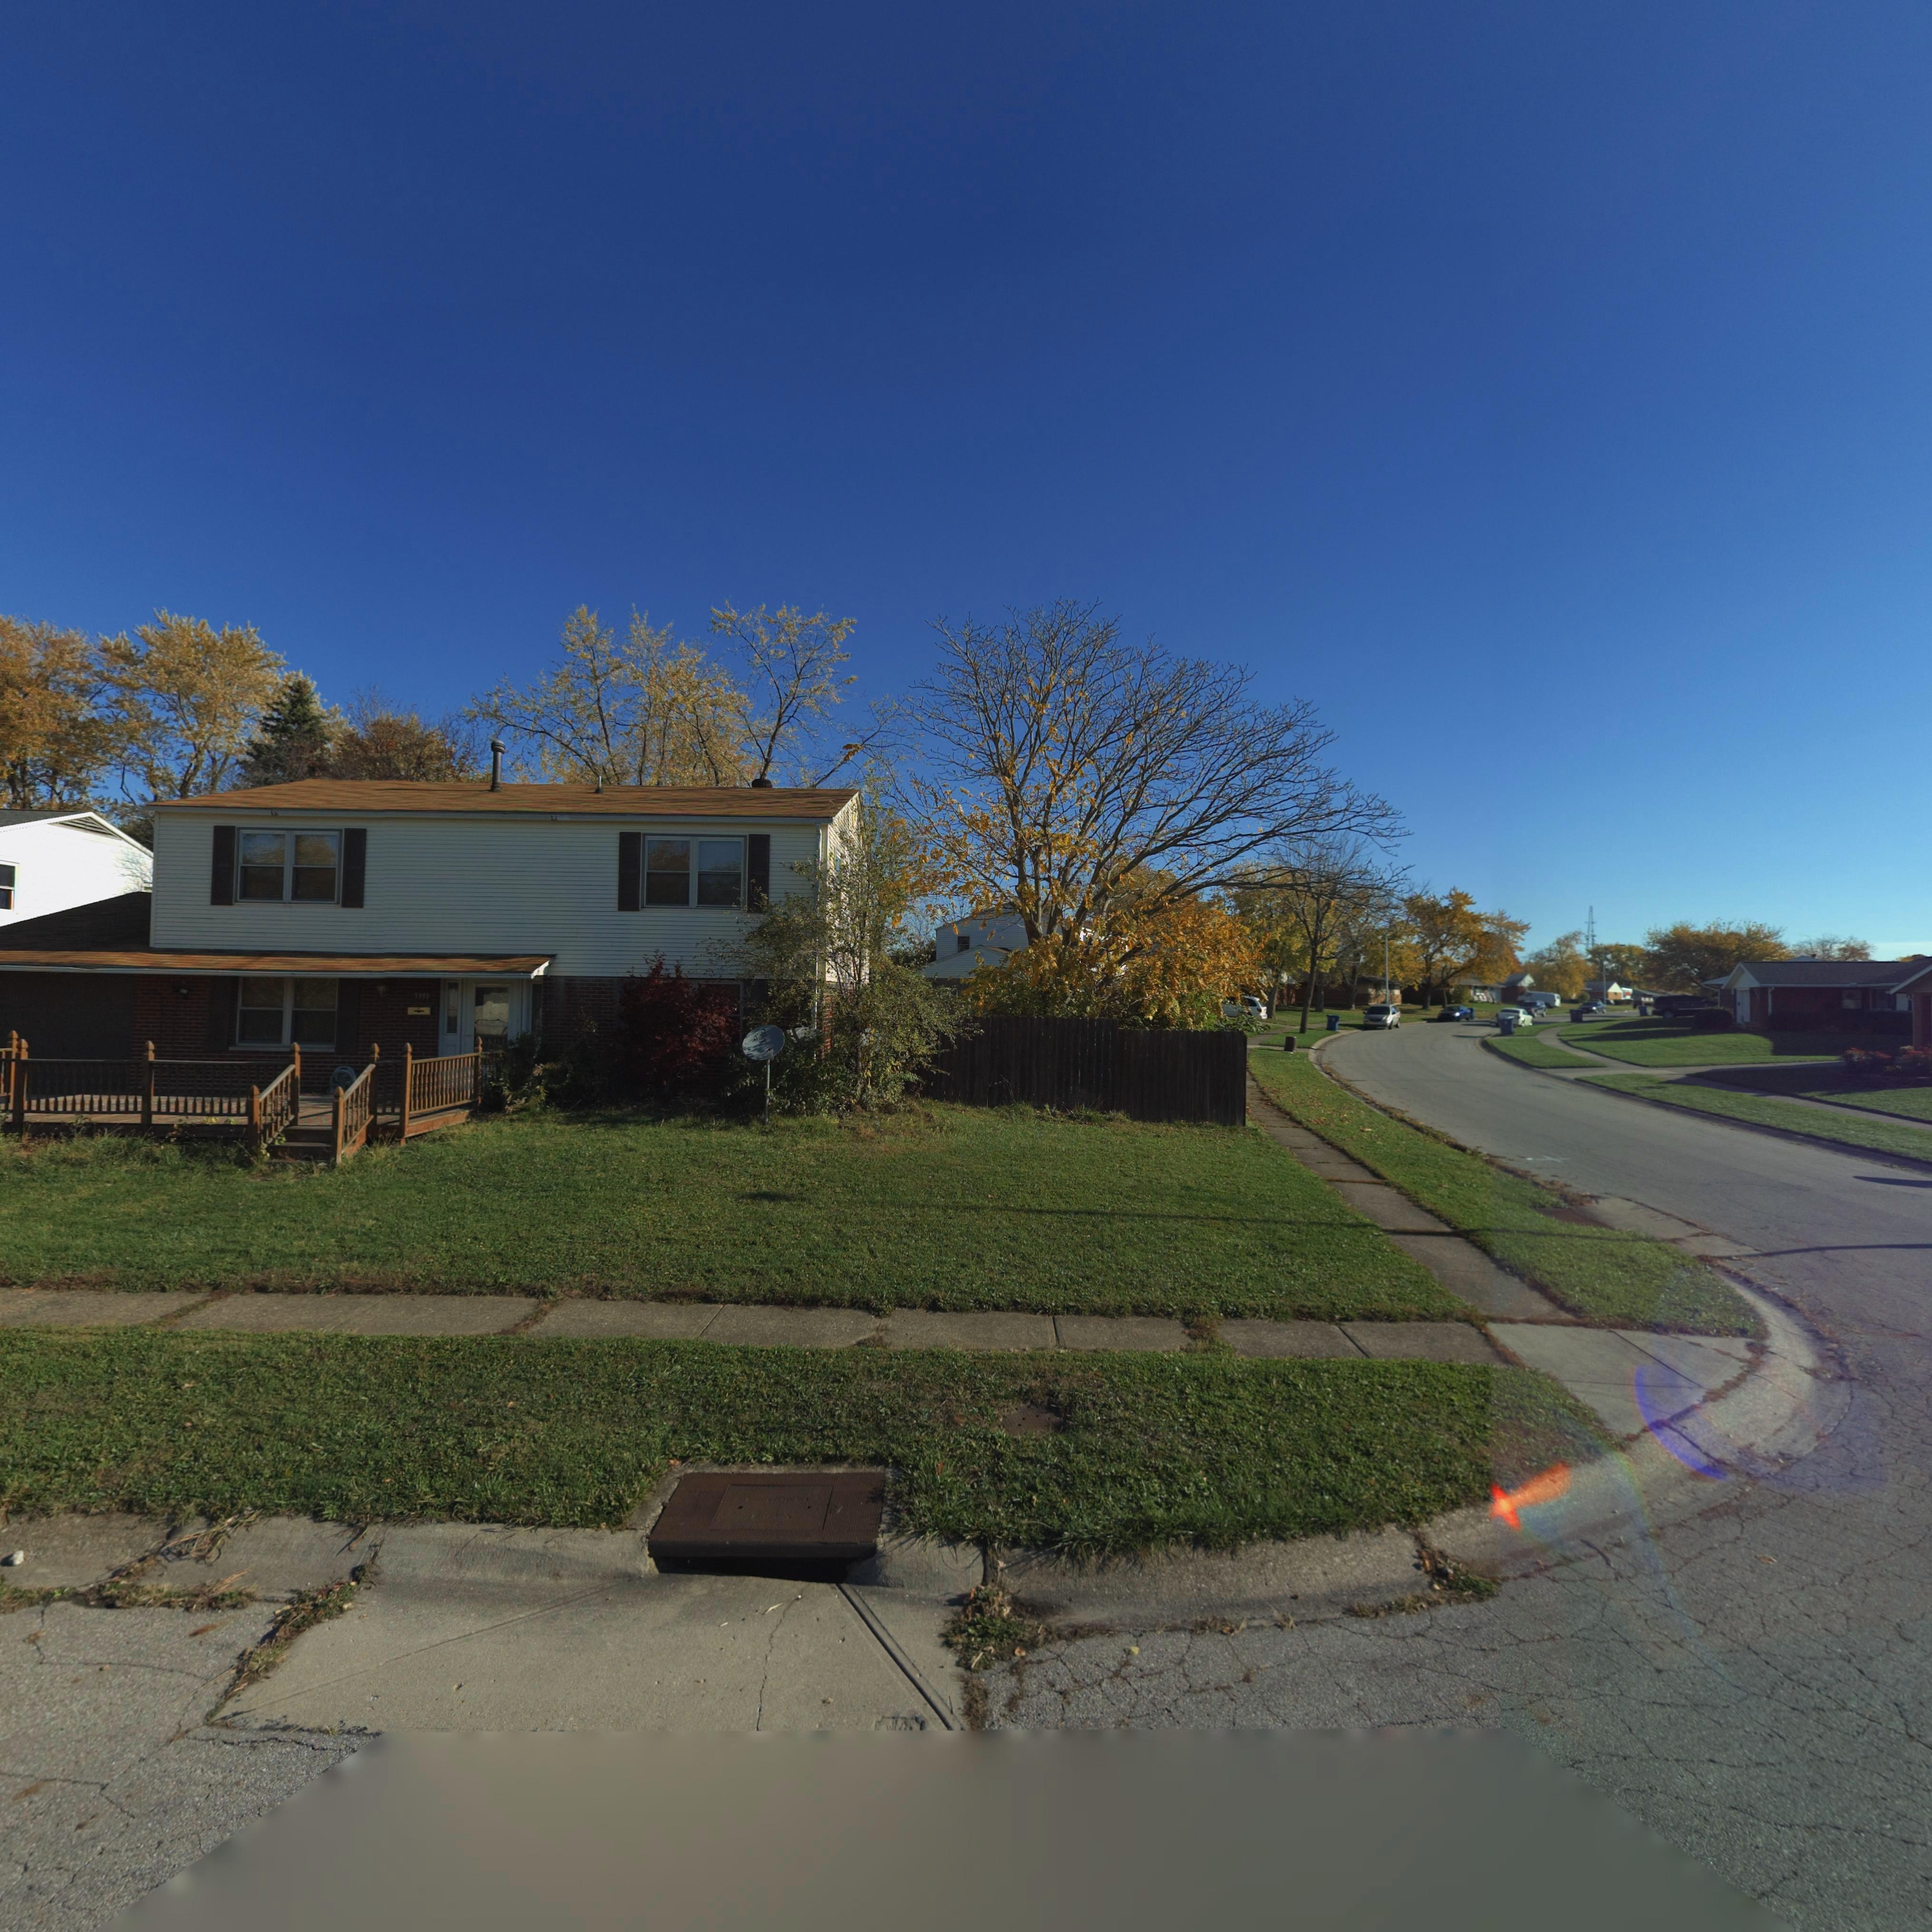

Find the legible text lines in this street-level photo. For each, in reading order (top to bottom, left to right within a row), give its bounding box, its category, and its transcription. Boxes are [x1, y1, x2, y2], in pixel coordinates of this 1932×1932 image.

[413, 992, 430, 1001] StreetNumber: 5991